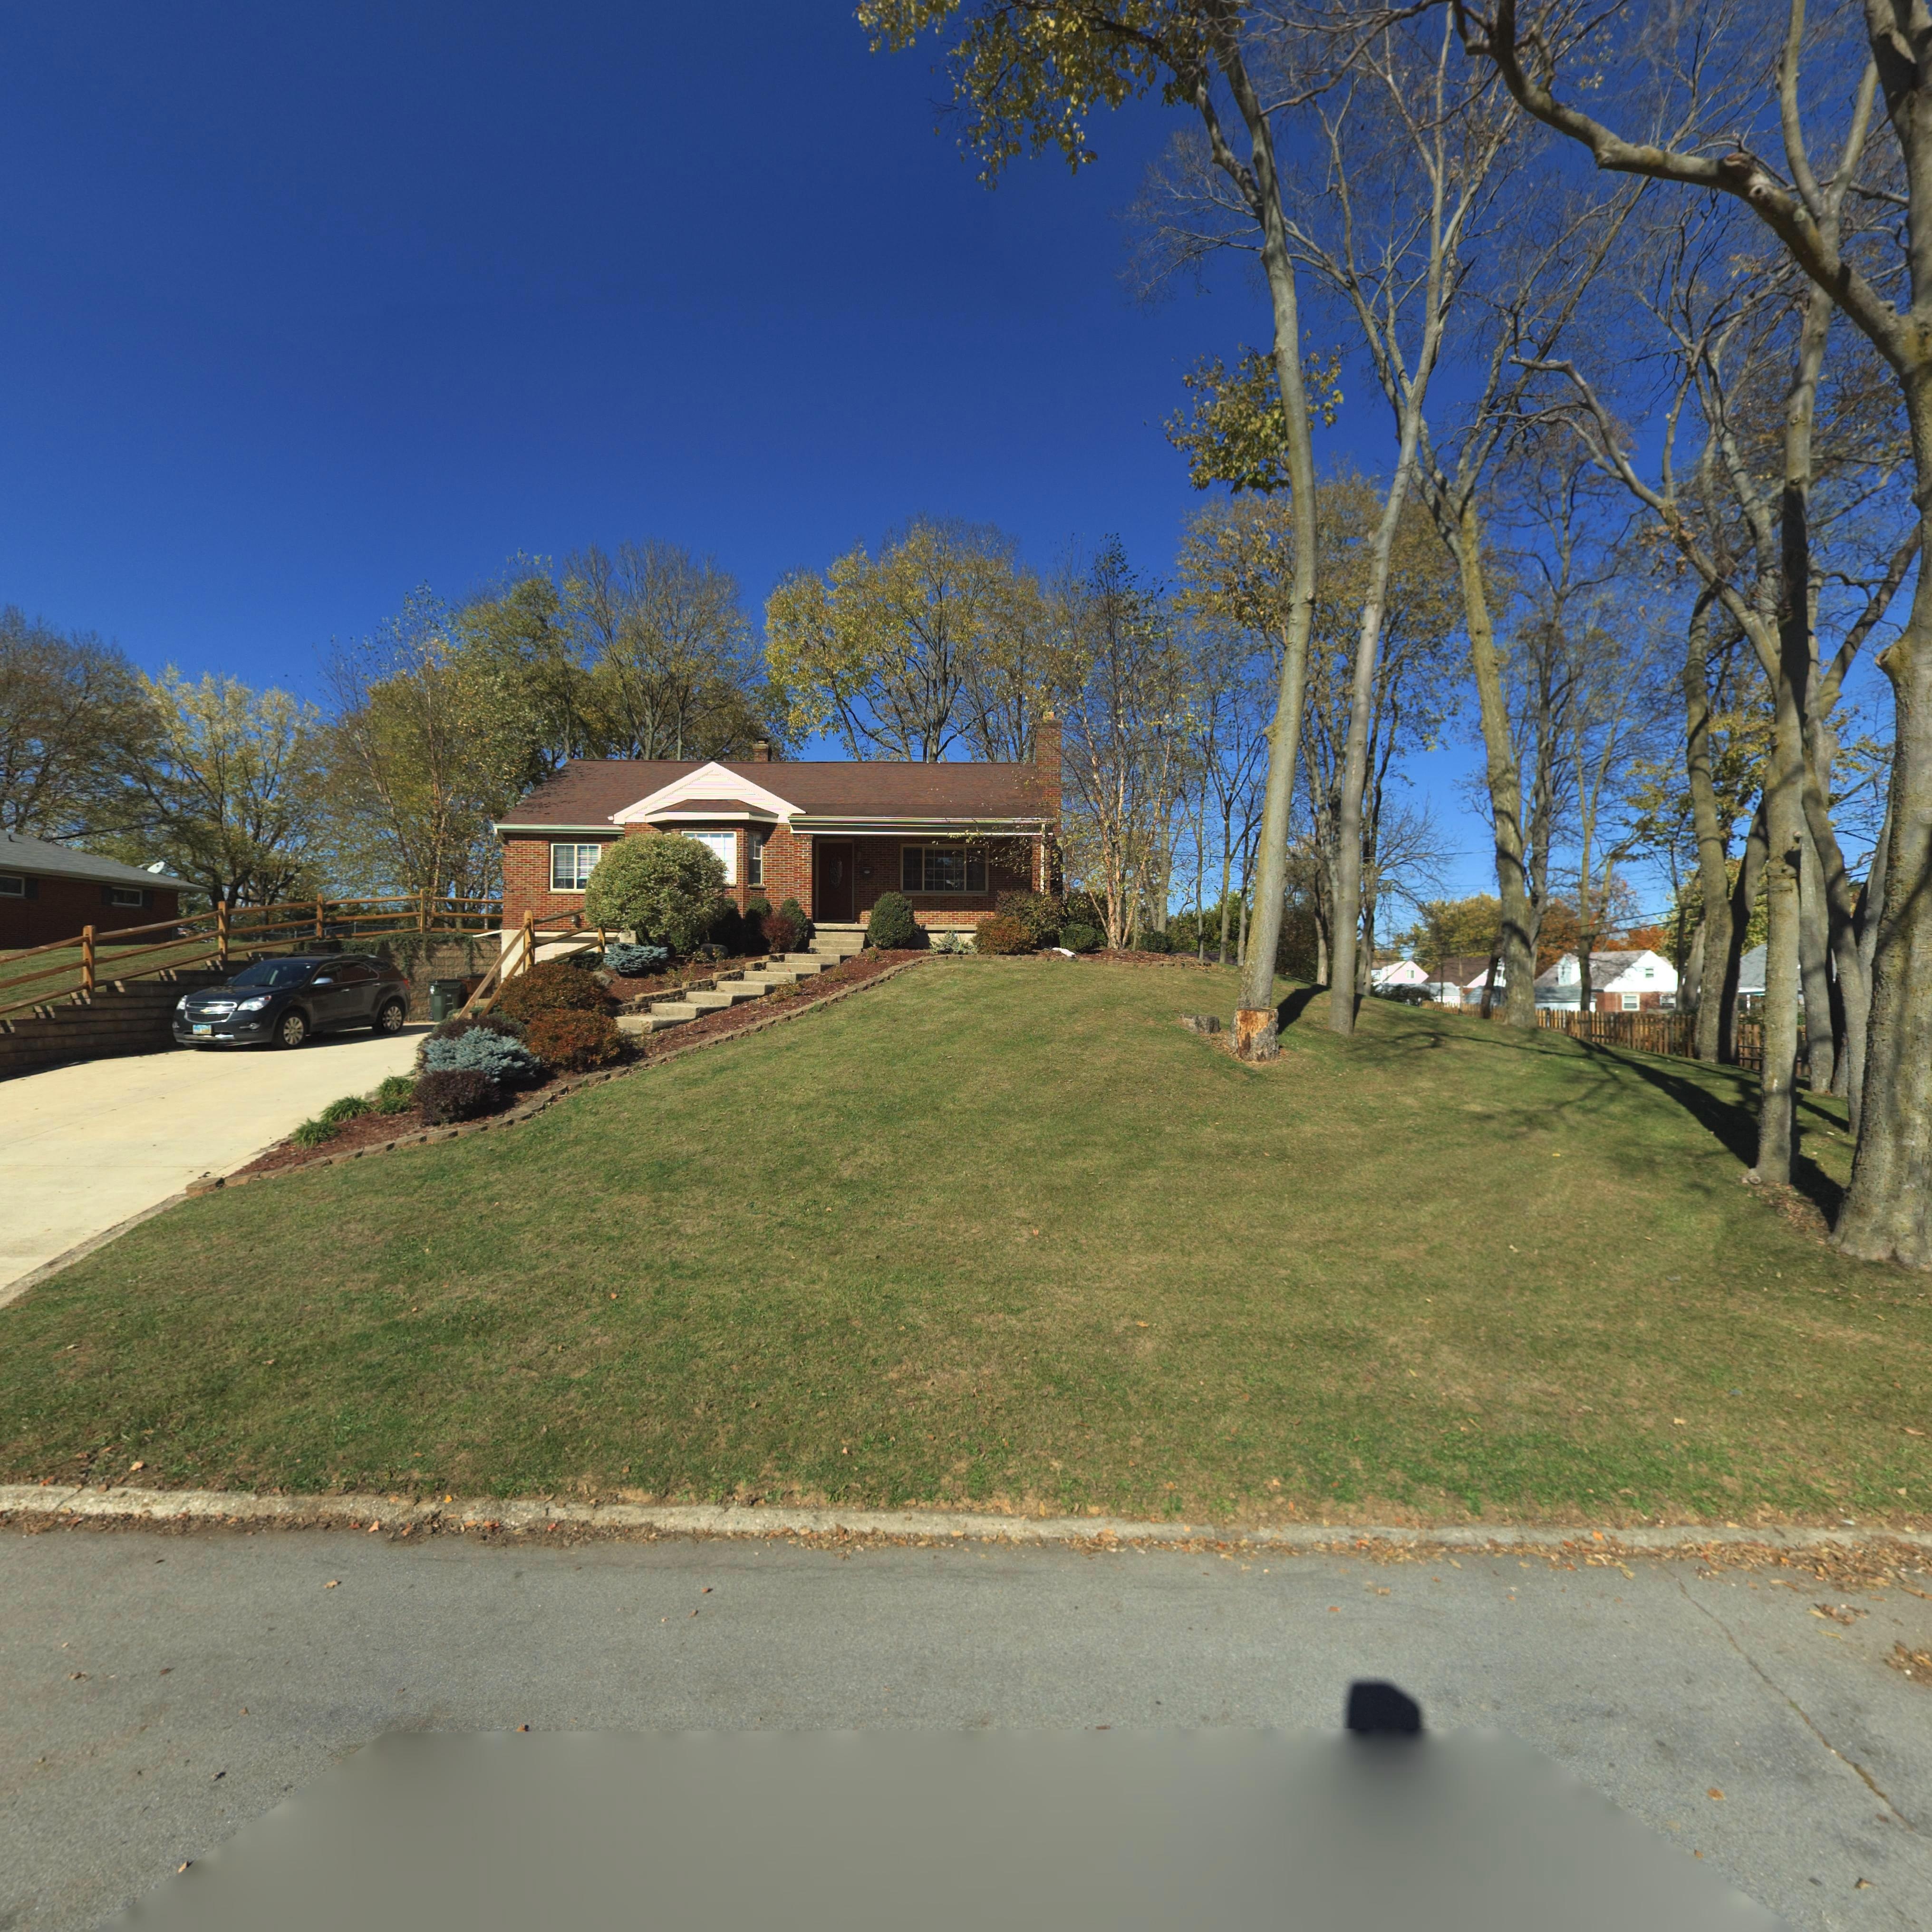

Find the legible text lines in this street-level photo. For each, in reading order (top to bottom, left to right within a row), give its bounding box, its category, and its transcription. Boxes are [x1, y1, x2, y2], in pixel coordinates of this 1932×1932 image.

[856, 851, 862, 864] StreetNumber: 07